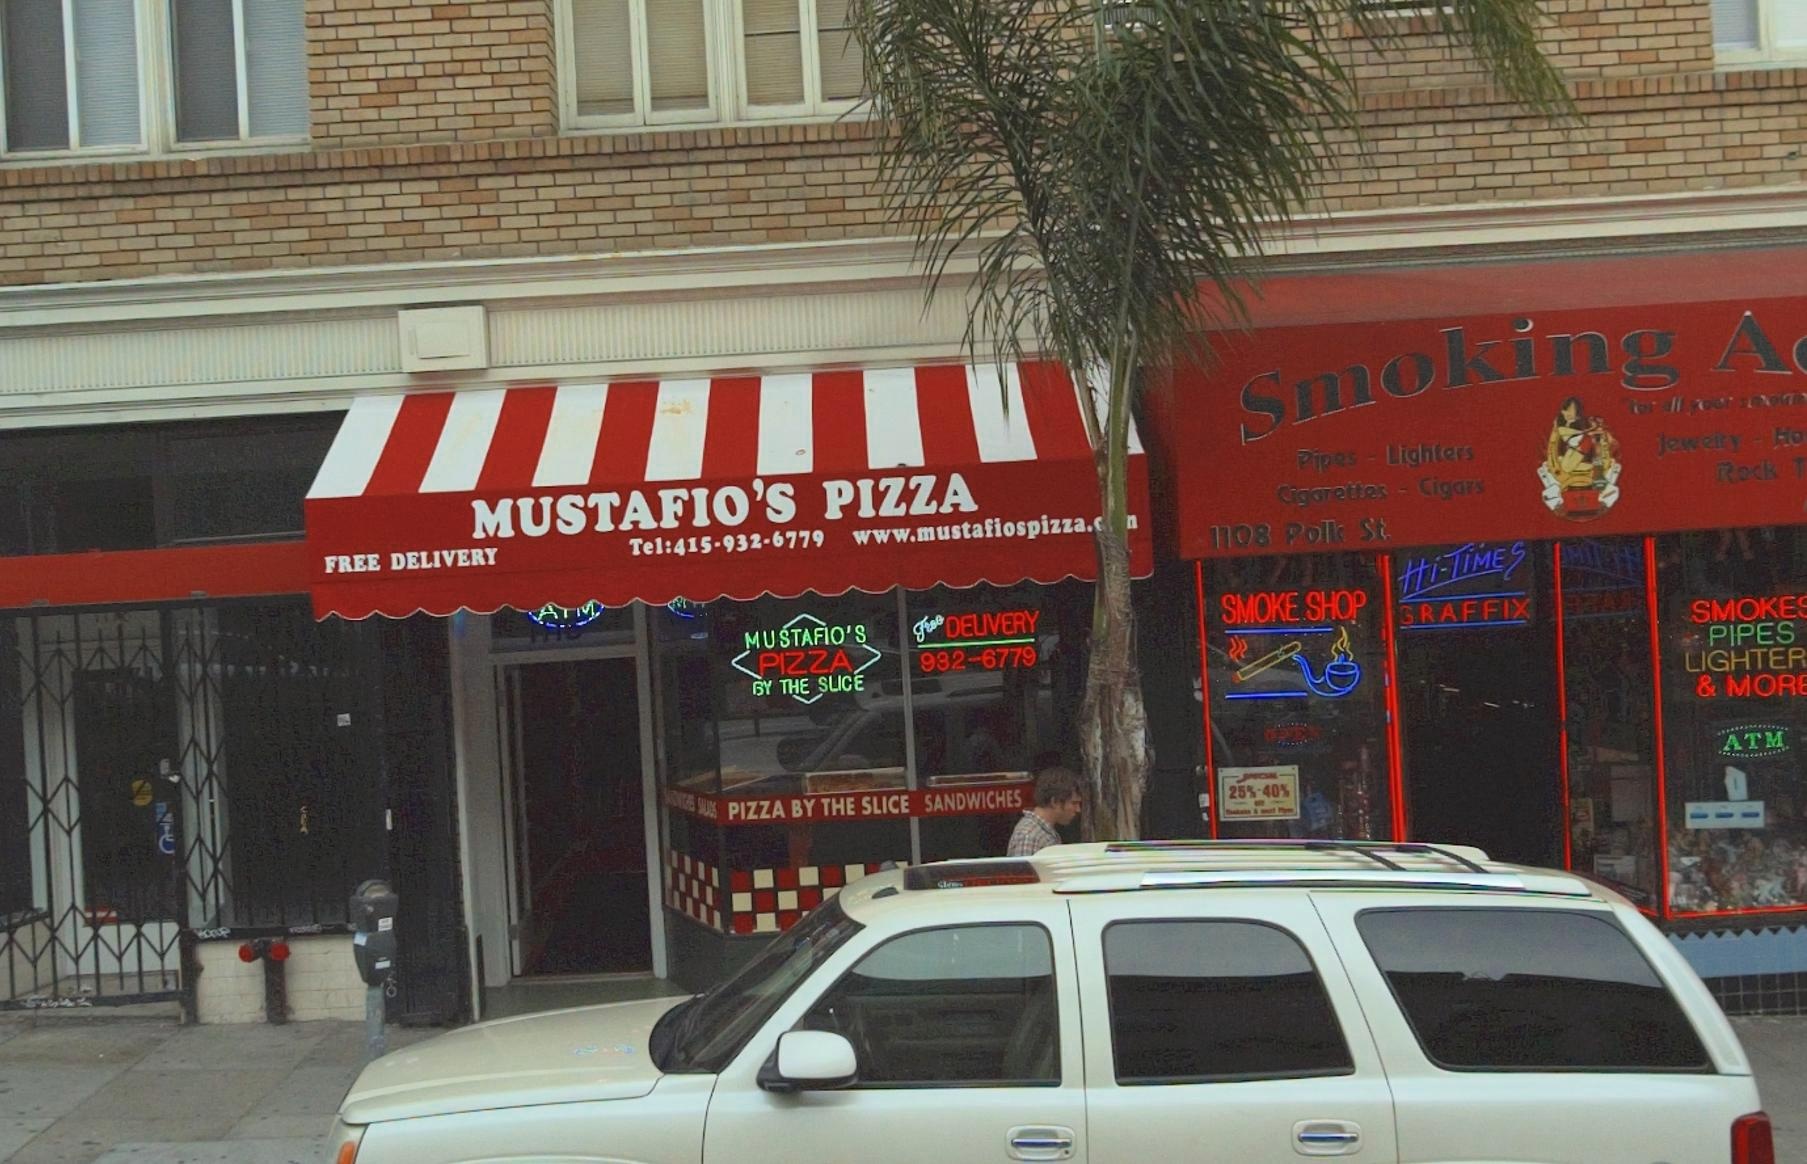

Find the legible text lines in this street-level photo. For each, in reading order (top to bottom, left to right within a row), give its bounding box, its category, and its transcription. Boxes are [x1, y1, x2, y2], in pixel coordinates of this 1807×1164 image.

[1236, 309, 1797, 447] BusinessName: Smoking A
[1655, 425, 1806, 460] None: Jewelry - Ho
[1296, 442, 1476, 474] None: Pipes - Lighters
[1715, 456, 1806, 485] None: Rock T
[470, 472, 981, 541] BusinessName: MUSTAFIO'S PIZZA
[1275, 476, 1485, 509] None: Cigarettes - Cigars
[626, 529, 825, 557] None: Tel:415-932-6779
[851, 513, 1140, 547] None: www.mustafiospizza.***
[1207, 522, 1273, 551] StreetNumber: 1108
[1284, 516, 1392, 548] StreetName: Polk St.
[323, 545, 499, 575] None: FREE DELIVERY
[1395, 540, 1527, 596] None: Hi-TiMES
[527, 616, 584, 645] StreetNumber: 1116
[743, 623, 868, 650] BusinessName: MUSTAFIO'S
[911, 613, 945, 644] None: Free
[944, 610, 1039, 639] None: DELIVERY
[1219, 588, 1368, 626] None: SMOKE SHOP
[1419, 597, 1531, 625] None: RAFFIX
[1689, 595, 1797, 625] None: SMOKE
[1708, 620, 1796, 647] None: PIPES
[758, 648, 855, 677] BusinessName: PIZZA
[919, 645, 1037, 673] None: 932-6779
[1683, 646, 1807, 674] None: LIGHTER
[751, 674, 866, 697] None: BY THE SLICE
[1725, 673, 1797, 698] None: MOR
[1720, 730, 1785, 752] None: ATM
[727, 789, 1023, 821] None: PIZZA BY THE SLICE SANDWICHES
[1227, 785, 1247, 800] None: 25
[1261, 783, 1280, 798] None: 40